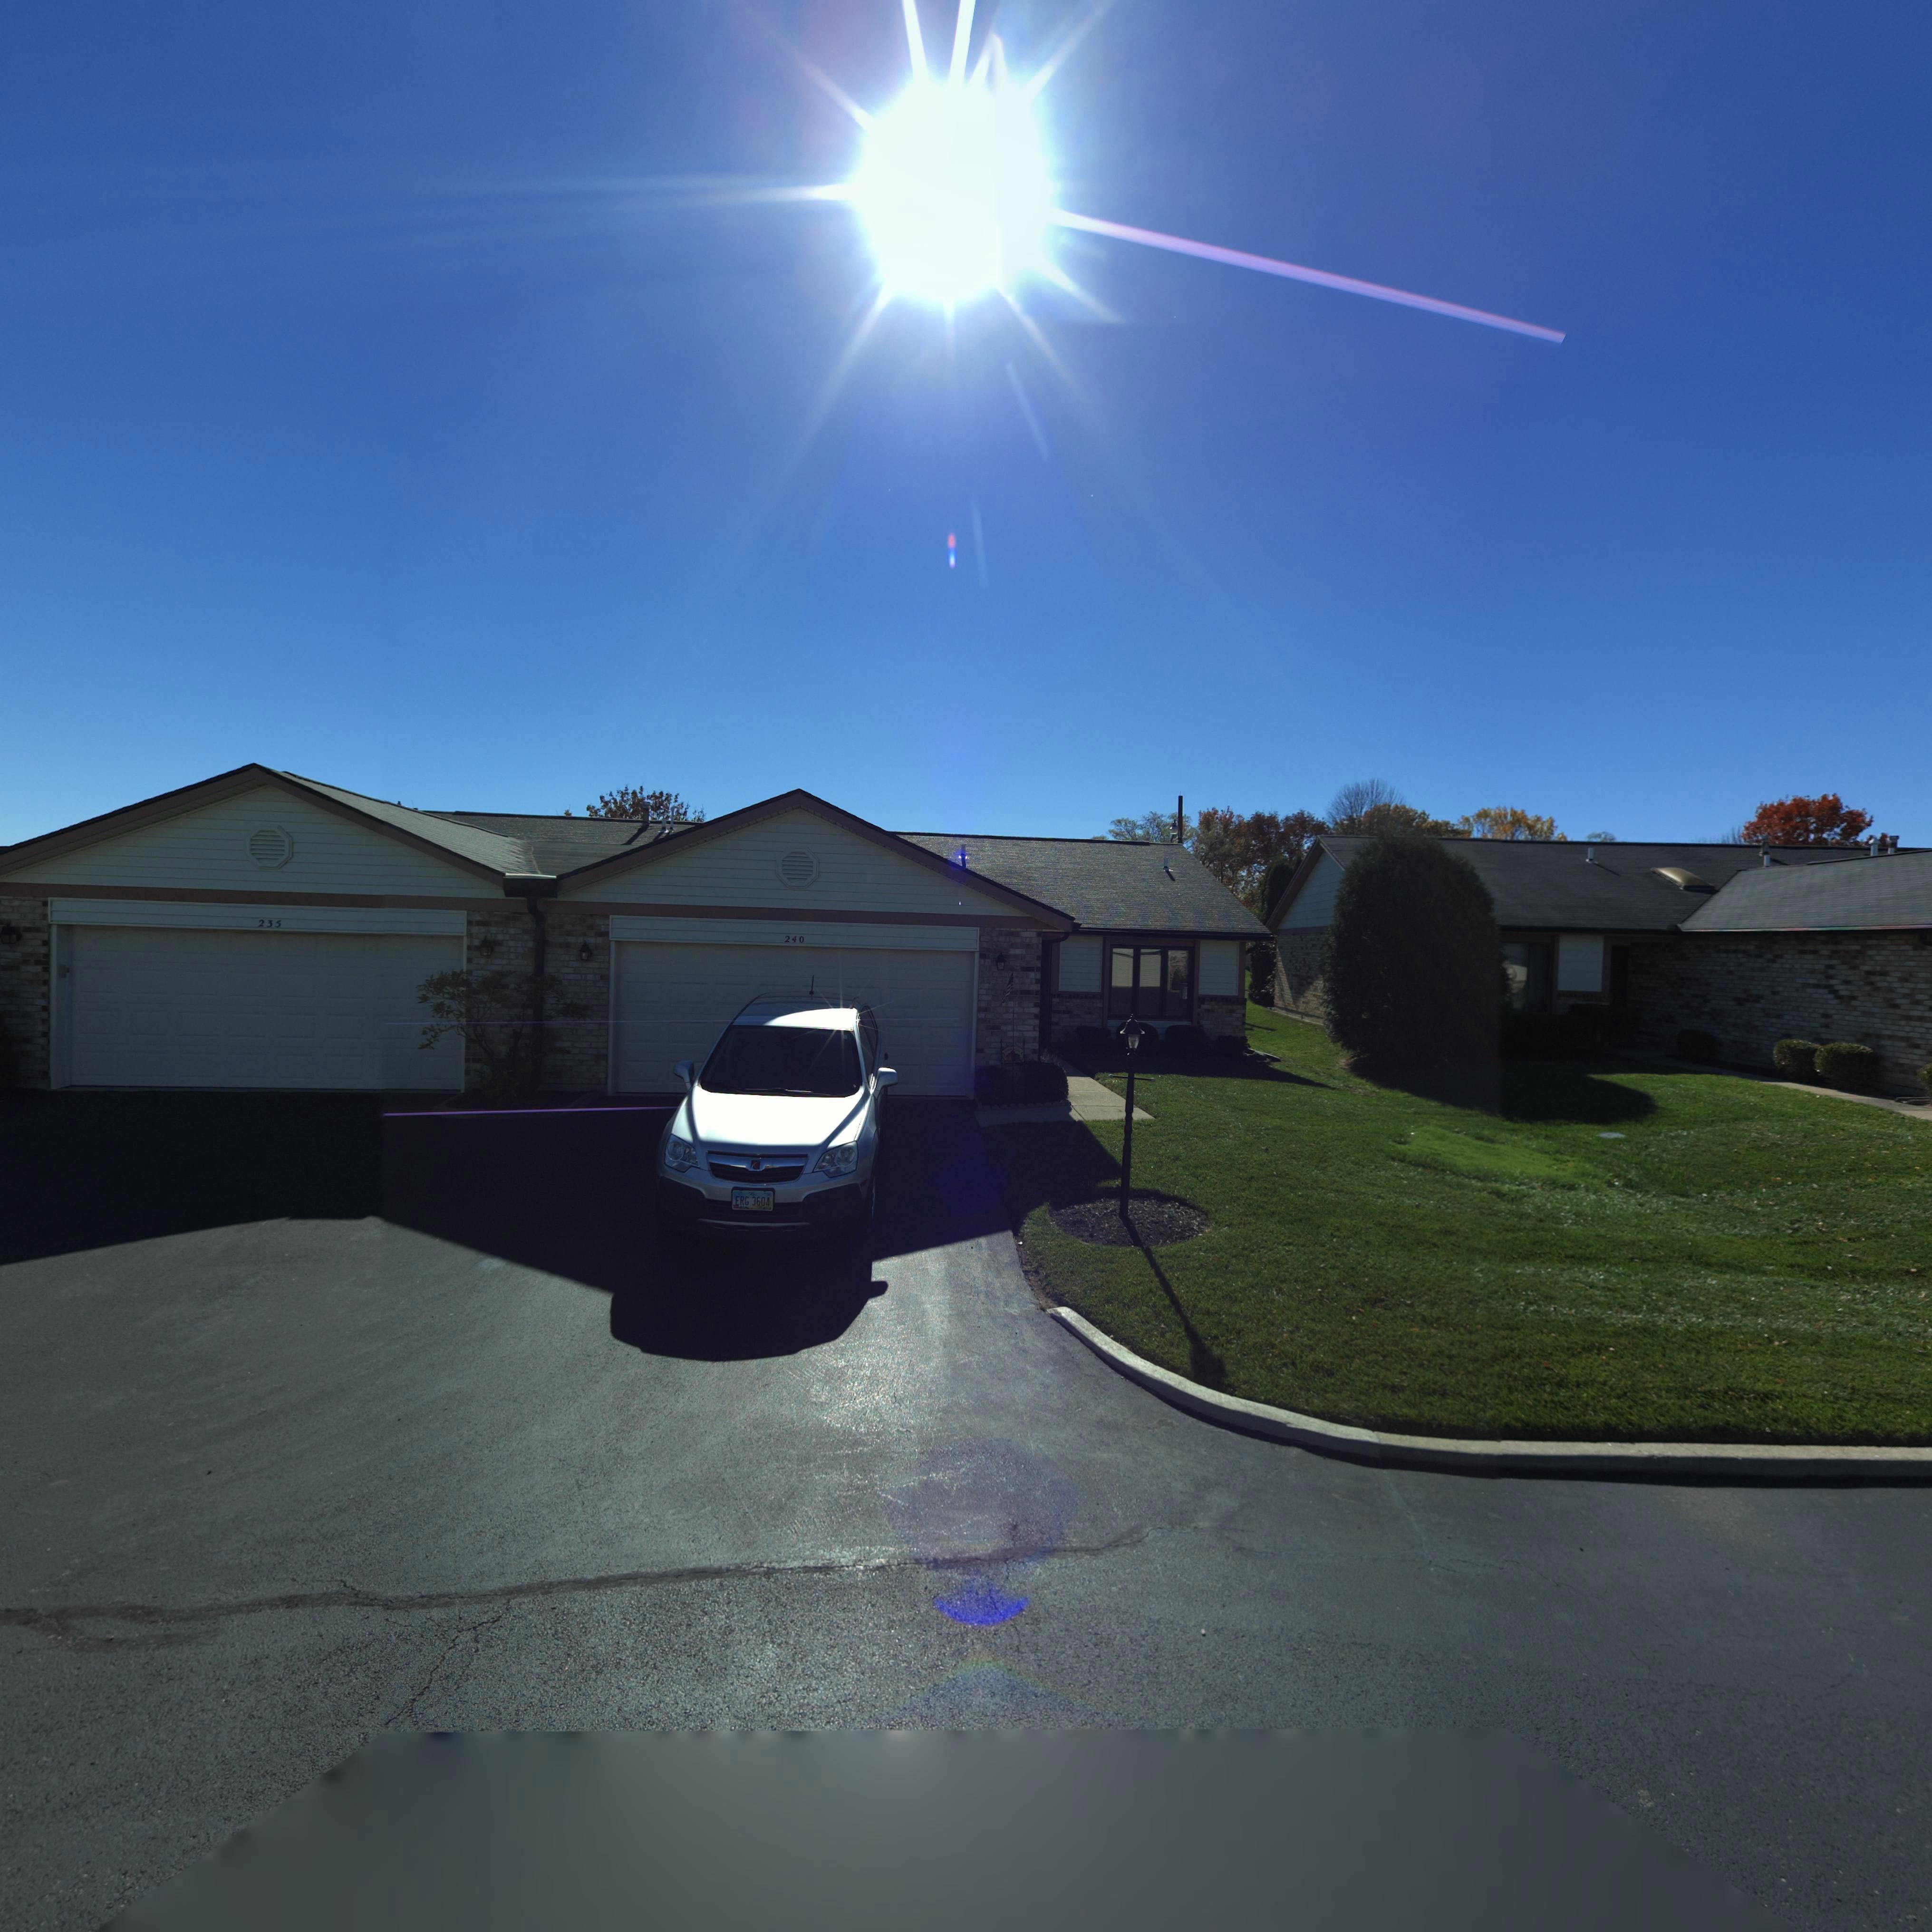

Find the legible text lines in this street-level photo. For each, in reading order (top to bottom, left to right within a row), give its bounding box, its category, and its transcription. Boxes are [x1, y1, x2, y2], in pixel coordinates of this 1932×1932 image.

[257, 918, 282, 929] StreetNumber: 235
[783, 935, 805, 944] StreetNumber: 240